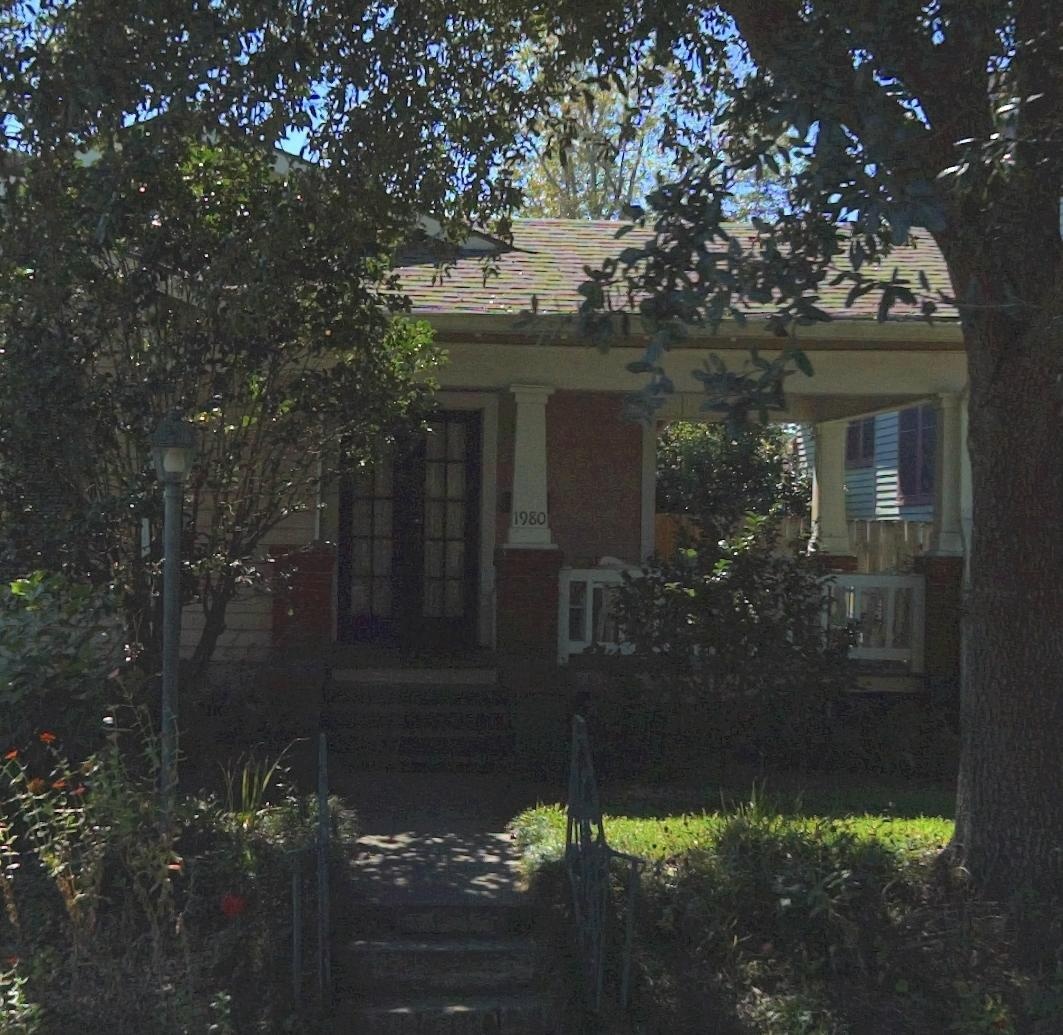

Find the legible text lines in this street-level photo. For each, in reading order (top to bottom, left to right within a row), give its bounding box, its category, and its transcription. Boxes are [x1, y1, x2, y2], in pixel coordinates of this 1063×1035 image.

[512, 509, 548, 528] StreetNumber: 1980